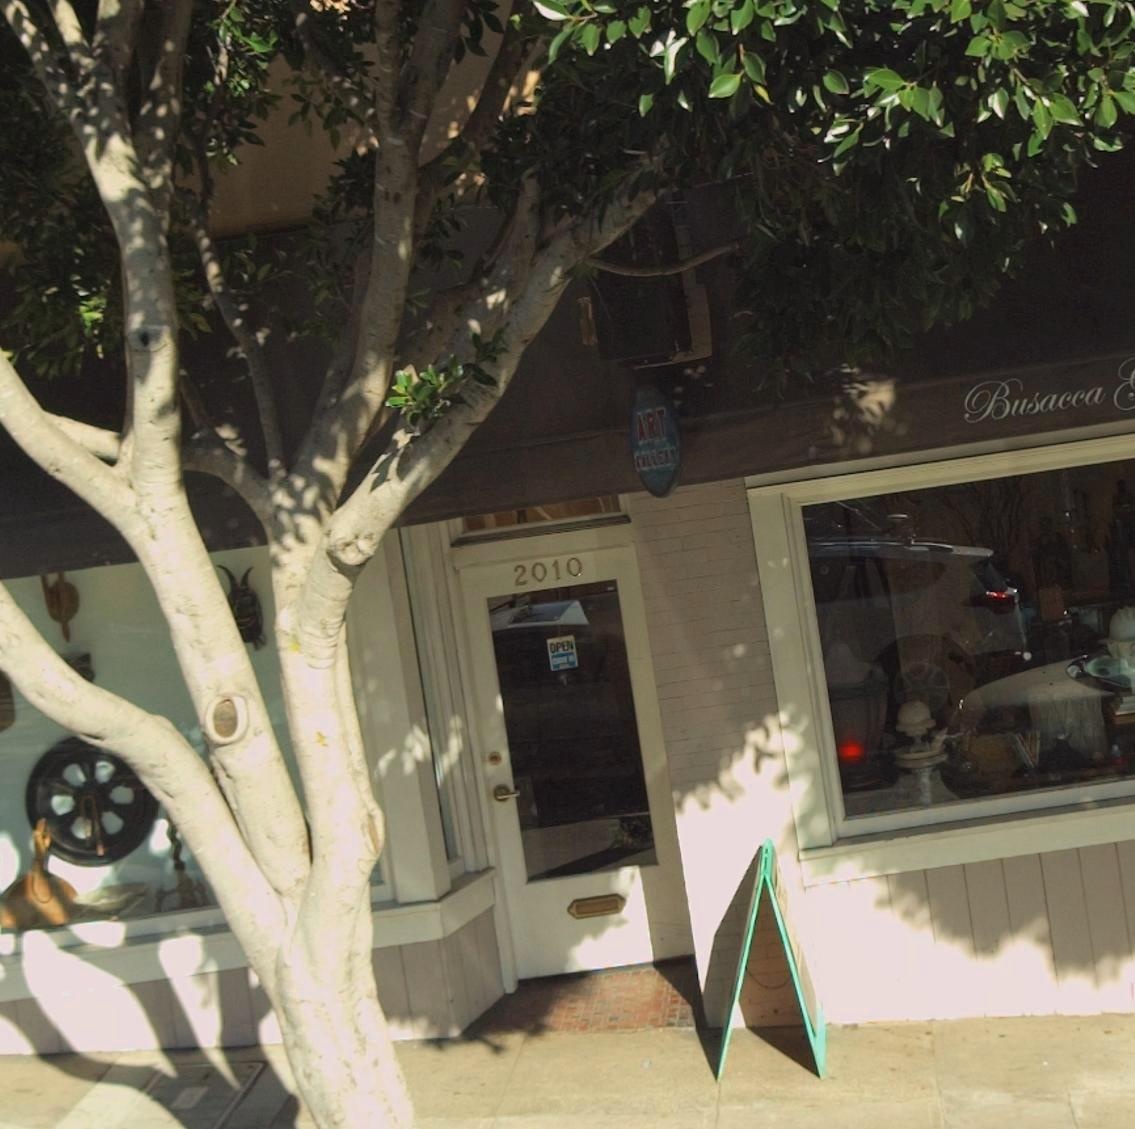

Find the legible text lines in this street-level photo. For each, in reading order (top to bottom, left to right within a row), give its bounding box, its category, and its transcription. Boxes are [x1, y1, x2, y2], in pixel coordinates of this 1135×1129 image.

[976, 378, 1109, 424] BusinessName: Busacca
[635, 405, 668, 447] None: ART
[634, 446, 678, 472] None: GALLERY
[512, 555, 584, 587] StreetNumber: 2010
[548, 639, 575, 654] None: OPEN